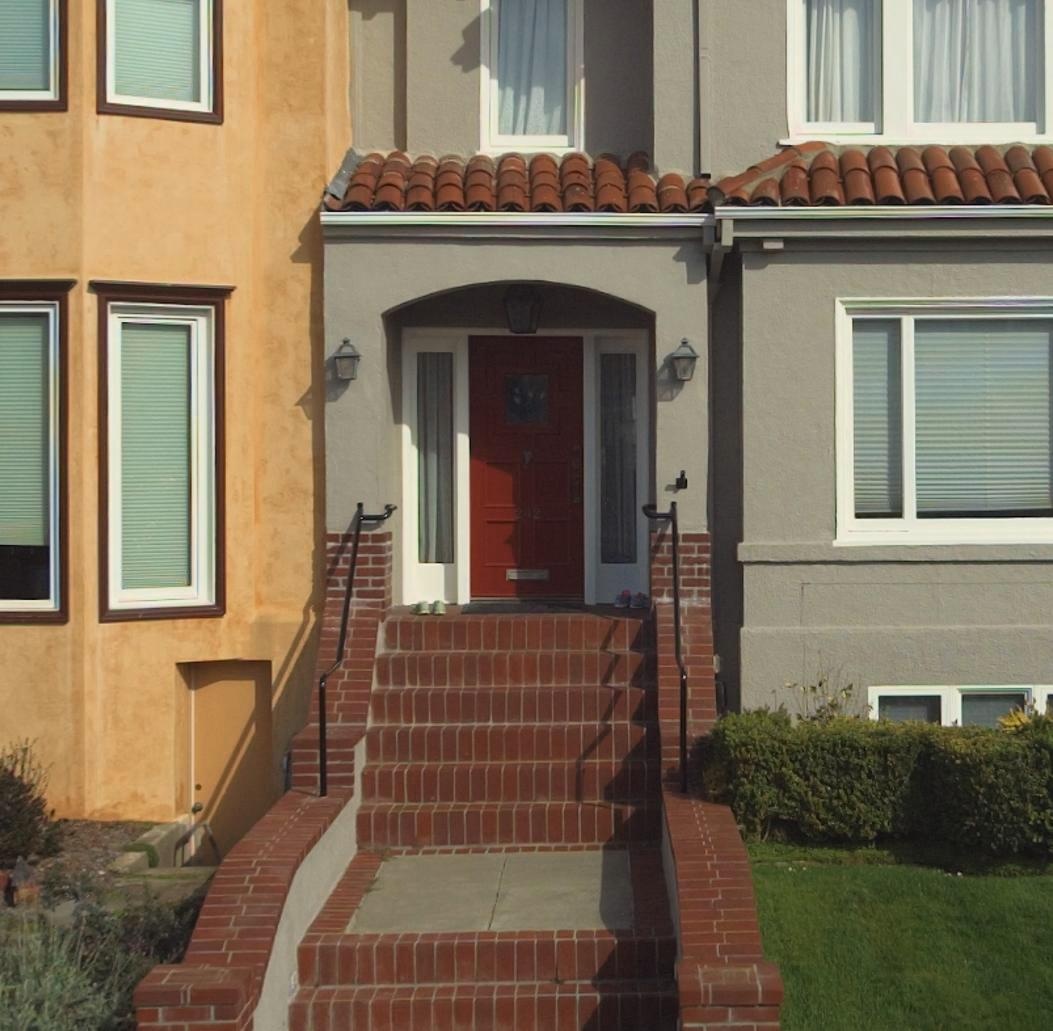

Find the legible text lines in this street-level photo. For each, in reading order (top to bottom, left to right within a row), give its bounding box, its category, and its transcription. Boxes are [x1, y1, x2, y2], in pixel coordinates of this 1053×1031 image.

[513, 505, 542, 521] StreetNumber: 242